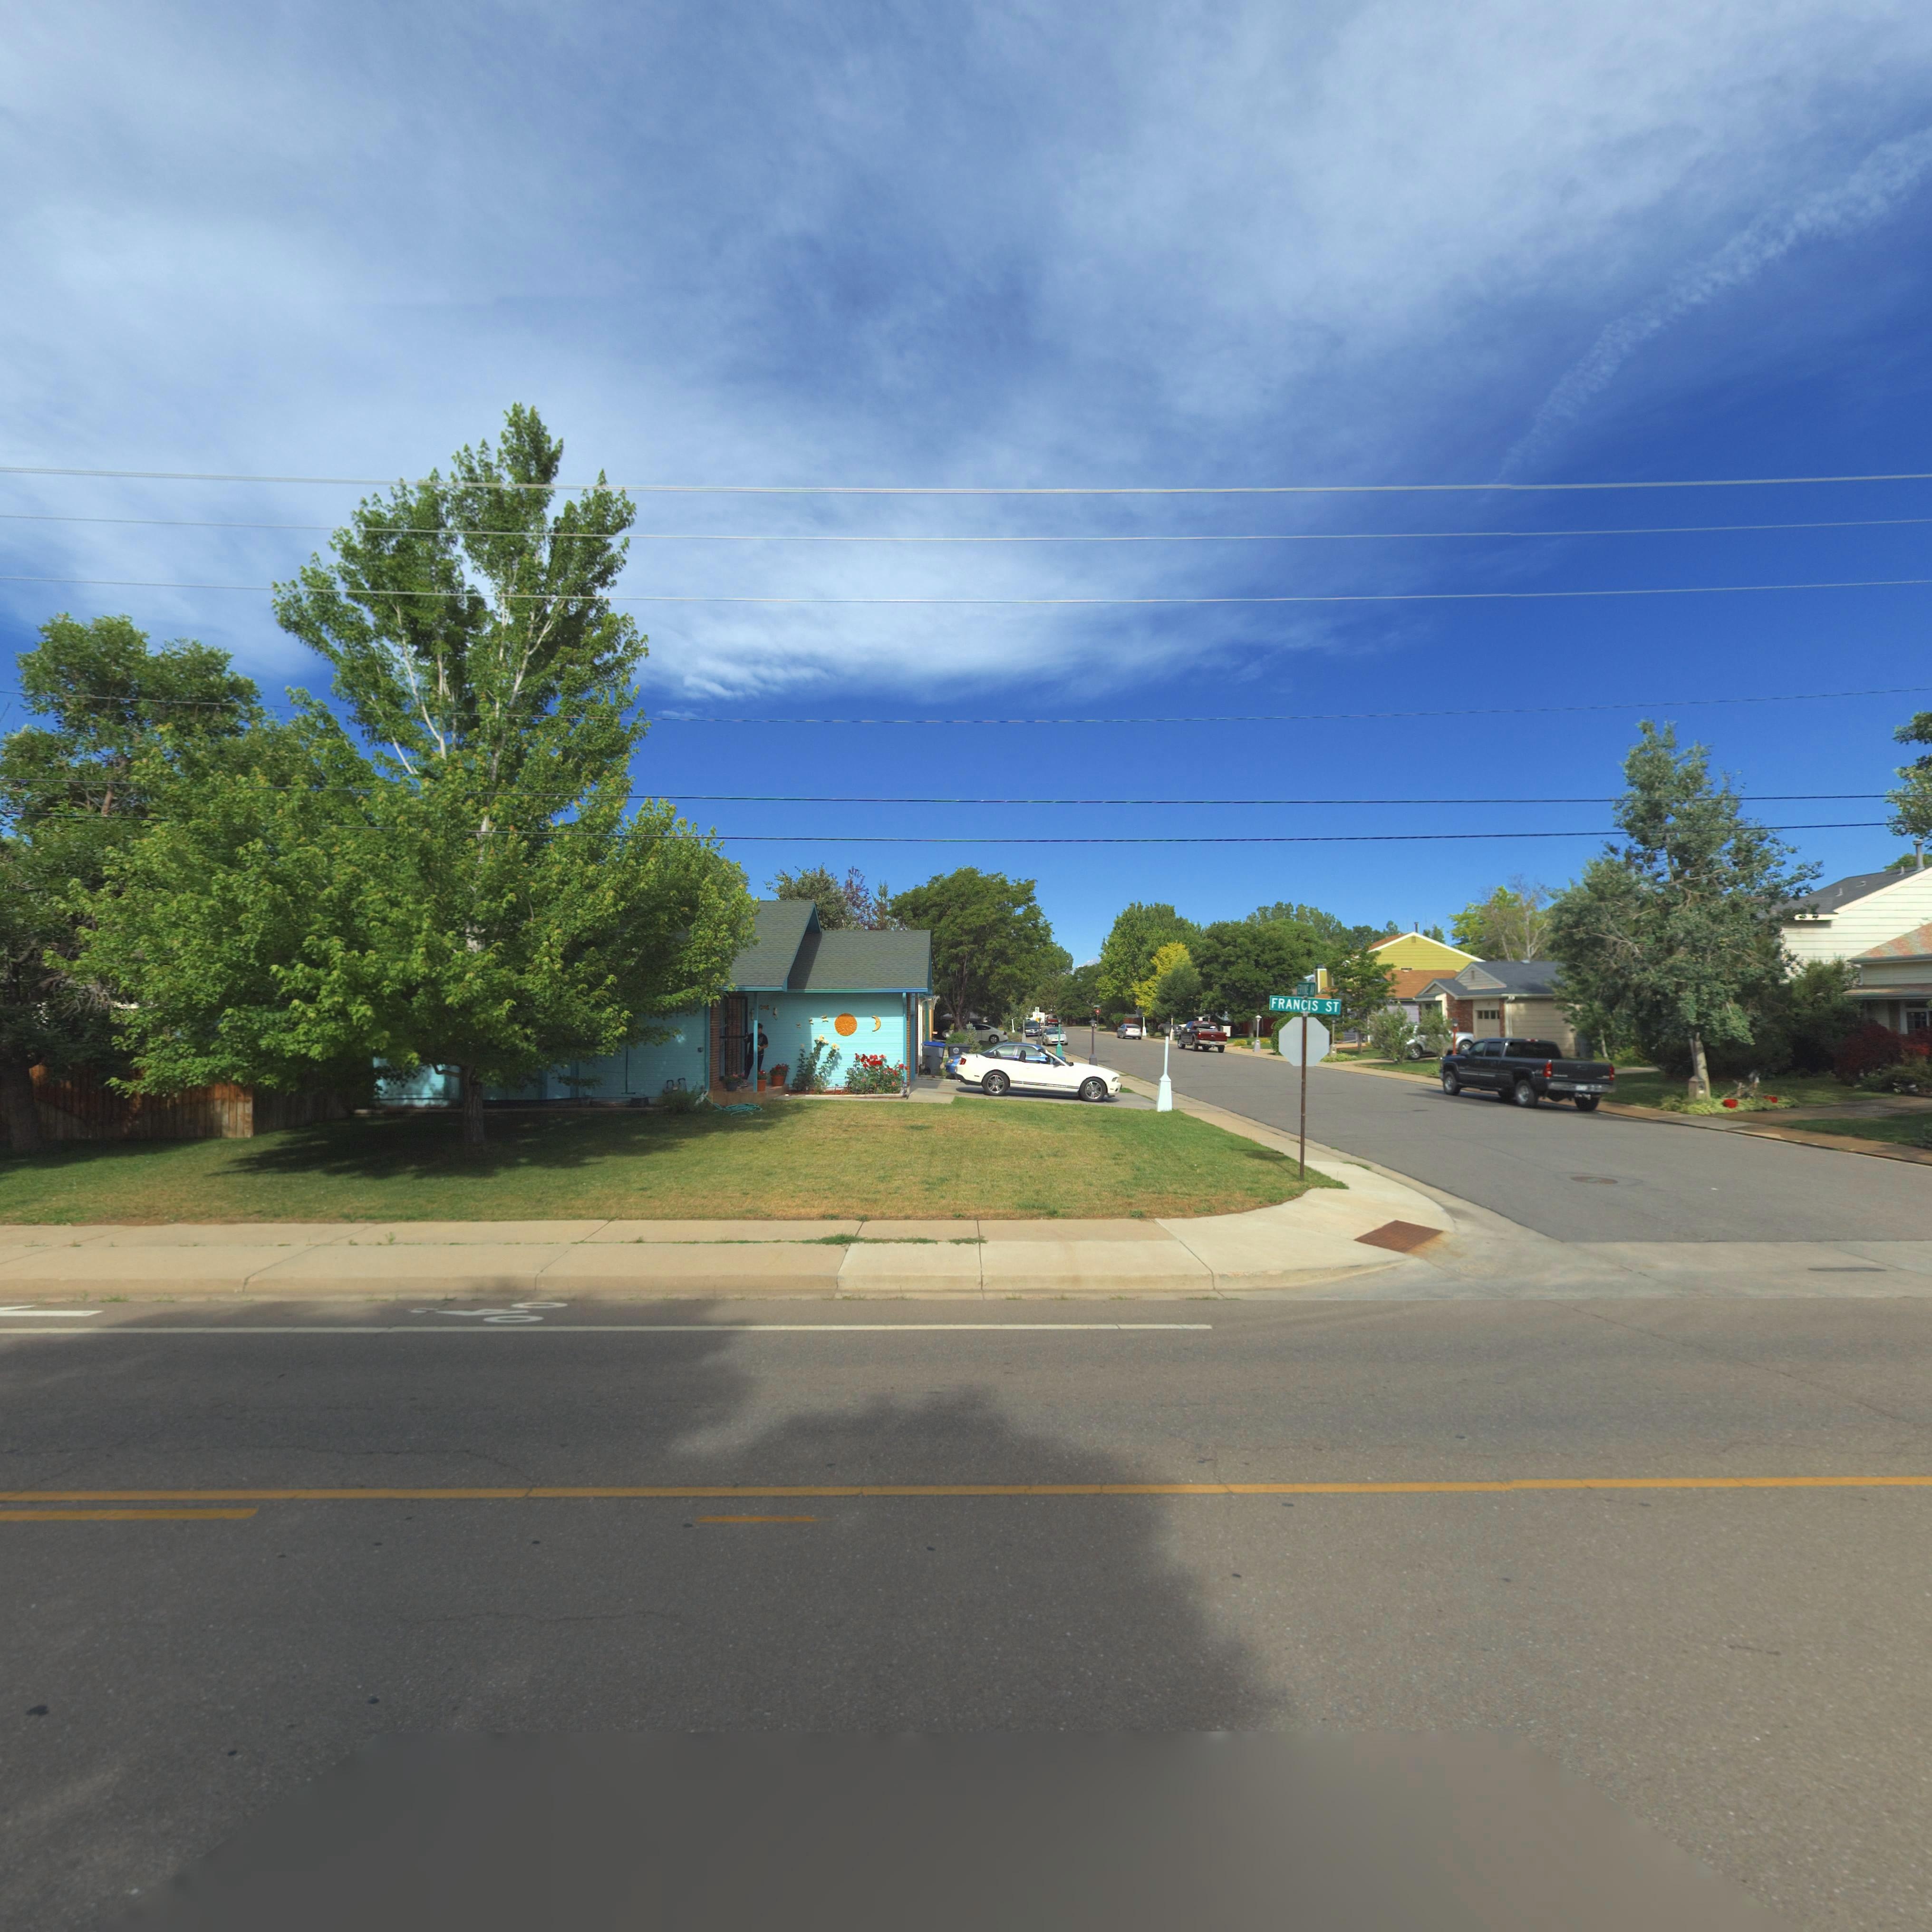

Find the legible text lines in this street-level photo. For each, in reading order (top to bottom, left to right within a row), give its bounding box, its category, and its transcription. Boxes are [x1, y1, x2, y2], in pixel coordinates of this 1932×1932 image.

[1297, 984, 1315, 995] StreetName: ERVINE AV
[1271, 997, 1339, 1013] StreetName: FRANCIS ST